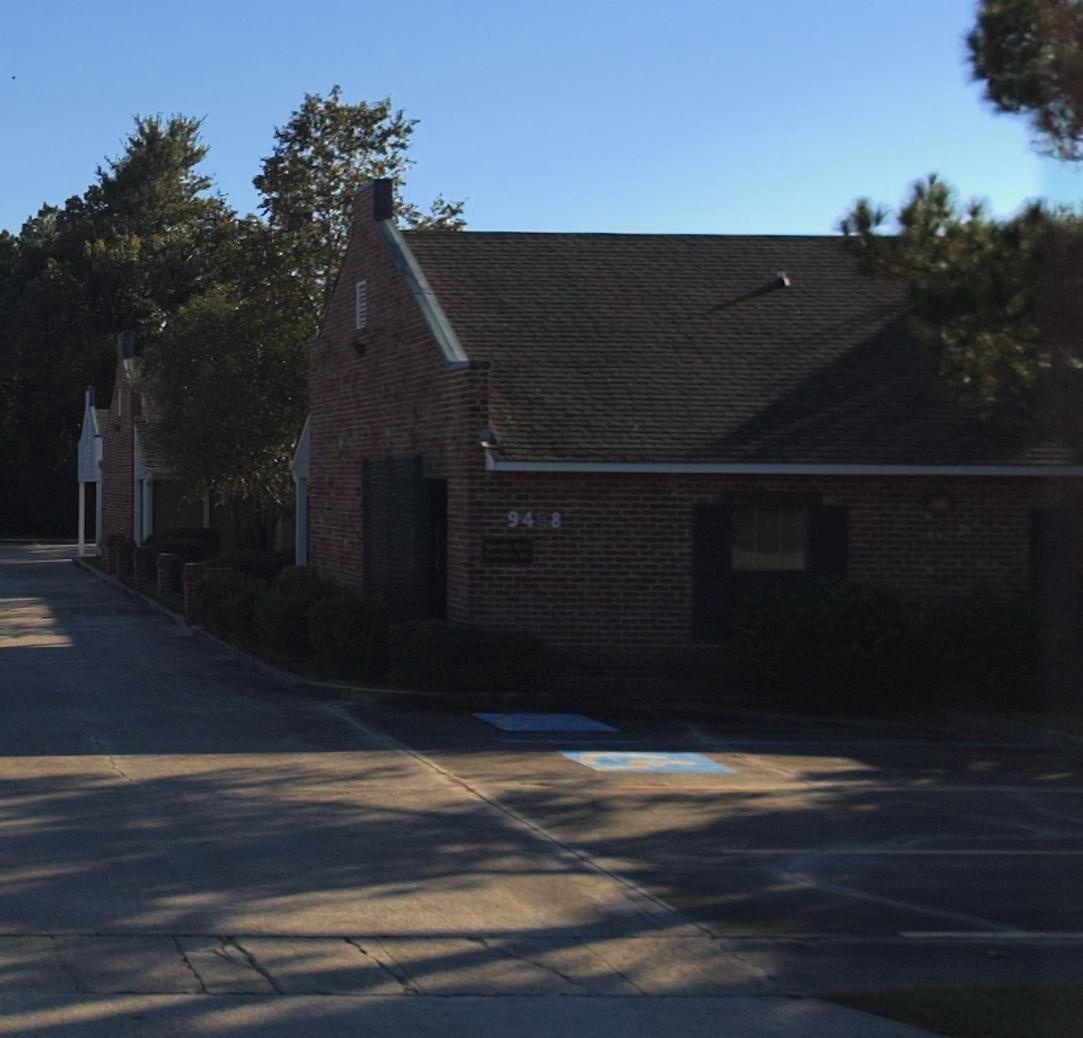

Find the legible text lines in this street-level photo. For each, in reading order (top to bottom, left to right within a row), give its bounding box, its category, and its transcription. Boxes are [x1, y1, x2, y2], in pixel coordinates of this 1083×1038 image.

[507, 509, 562, 530] StreetNumber: 9488